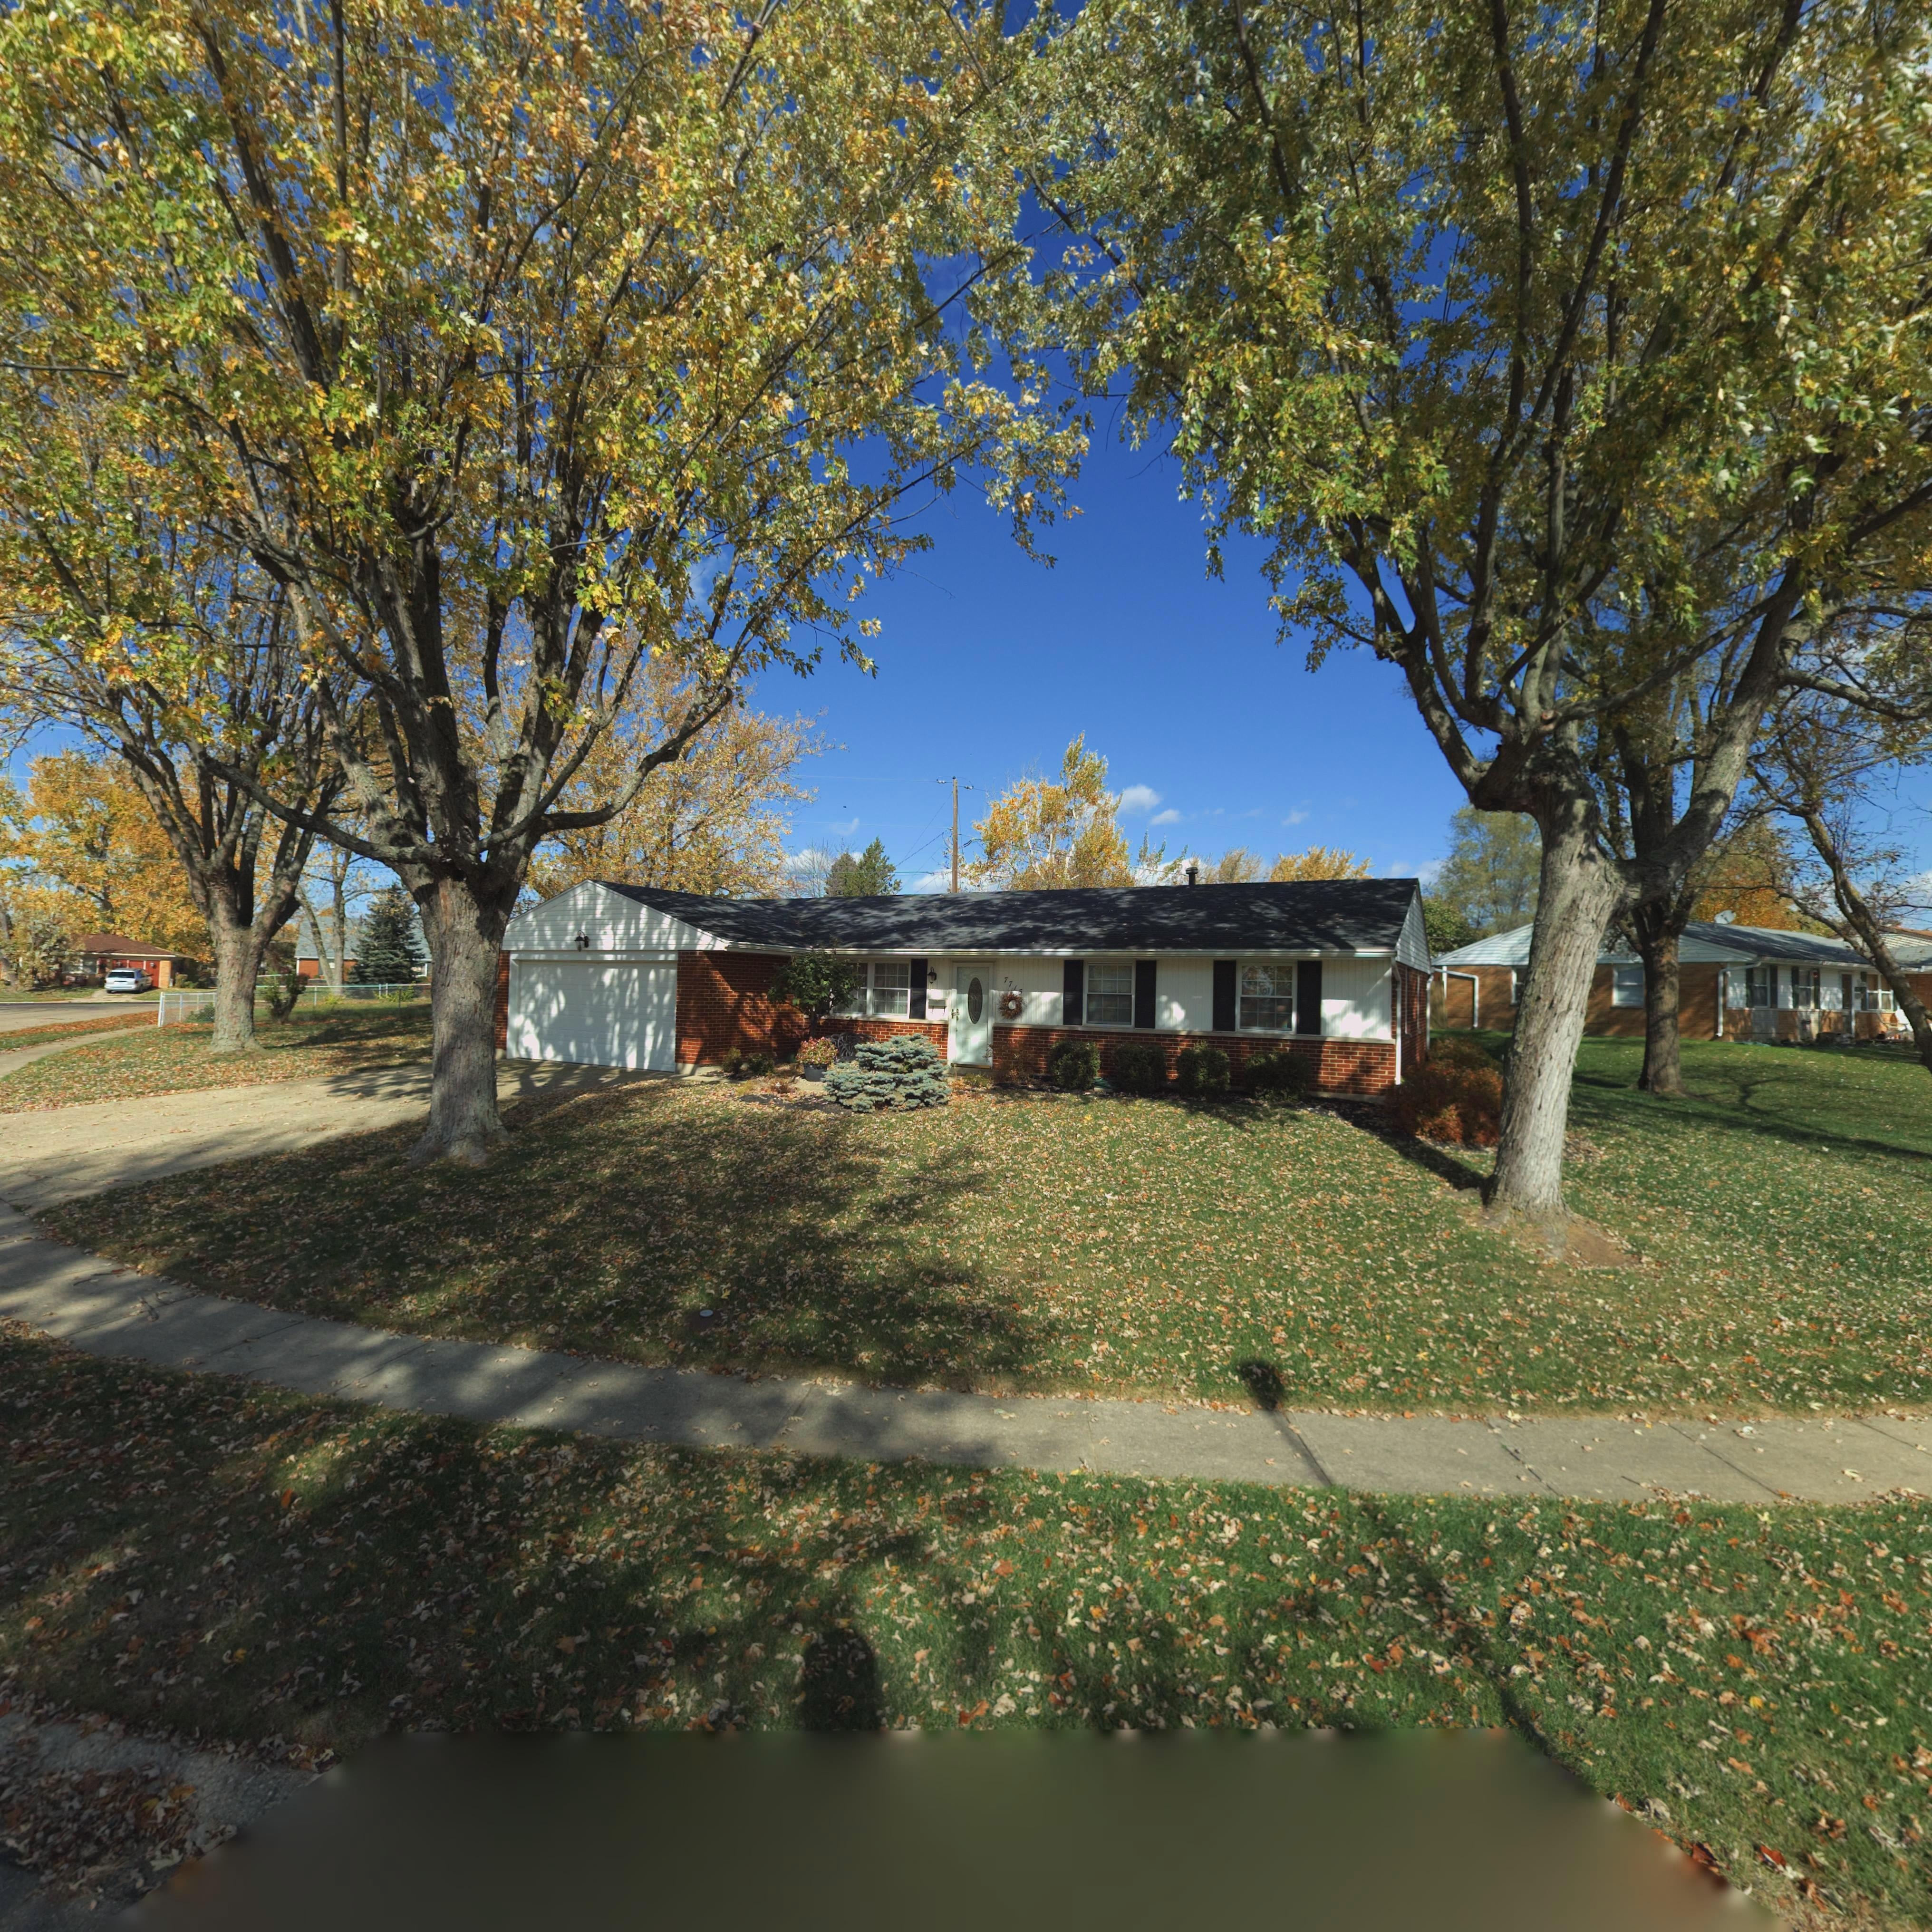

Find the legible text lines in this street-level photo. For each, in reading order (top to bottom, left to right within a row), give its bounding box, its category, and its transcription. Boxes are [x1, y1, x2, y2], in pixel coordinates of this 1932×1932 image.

[1003, 976, 1024, 996] StreetNumber: 7715